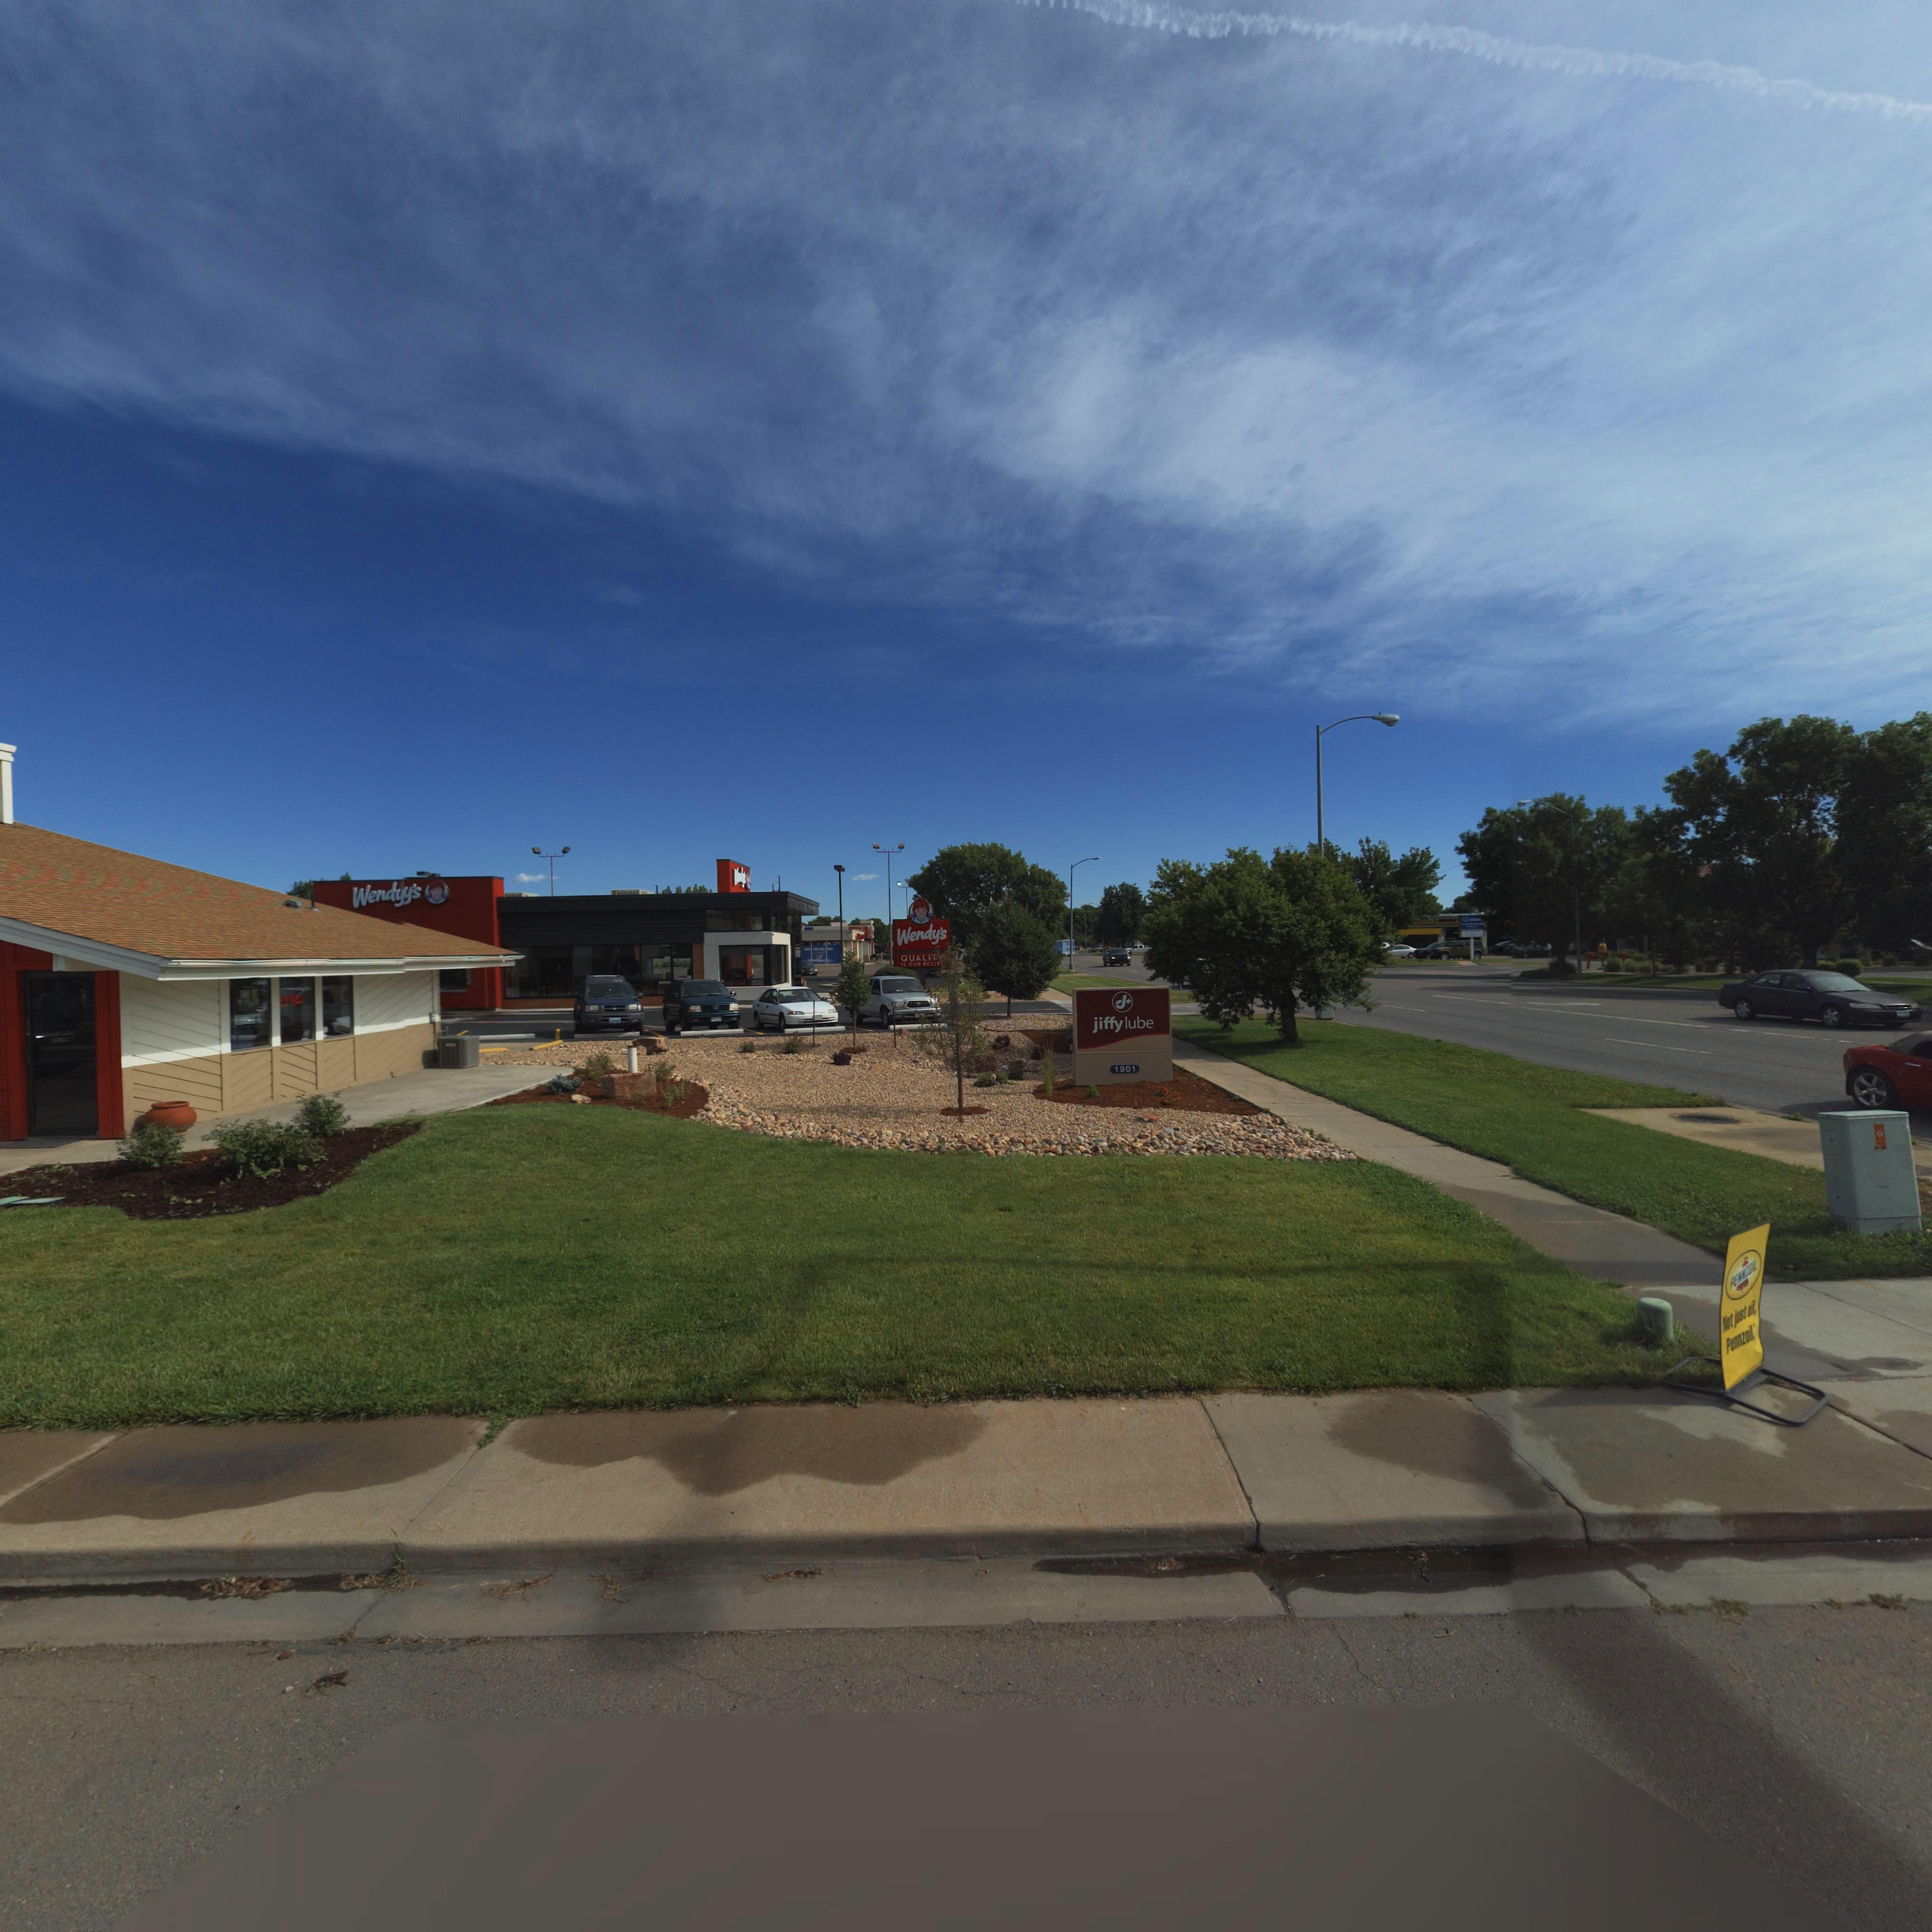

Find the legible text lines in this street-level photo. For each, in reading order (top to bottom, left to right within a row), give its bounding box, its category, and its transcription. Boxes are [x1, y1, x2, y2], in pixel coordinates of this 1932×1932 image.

[733, 866, 746, 889] BusinessName: W***y*
[351, 880, 423, 909] BusinessName: Wendyy's
[895, 923, 948, 947] BusinessName: Wendy's
[1091, 1015, 1155, 1034] BusinessName: jiffylube
[1115, 1065, 1135, 1072] StreetNumber: 1901